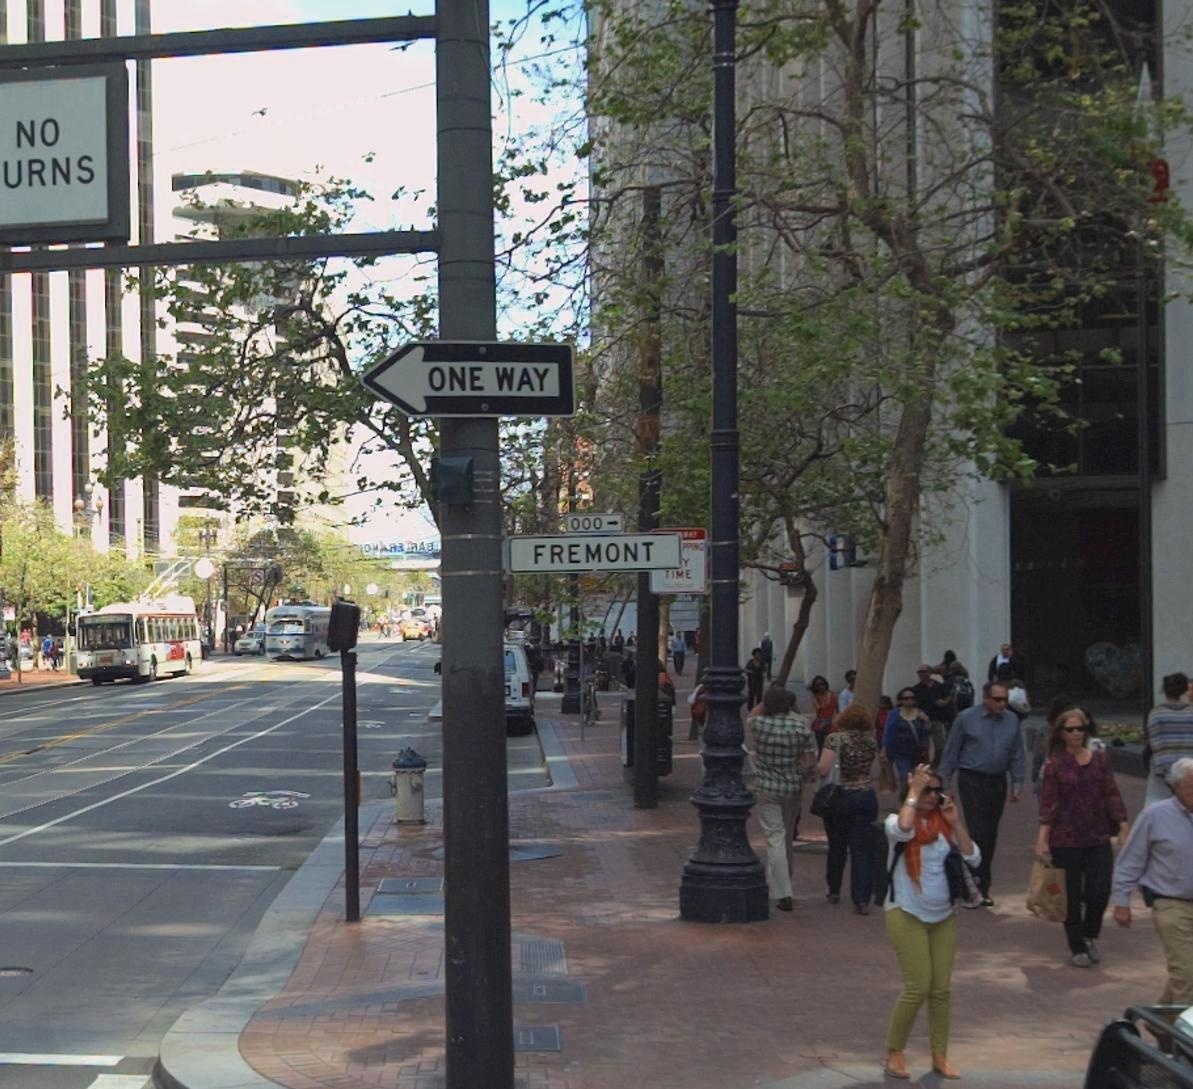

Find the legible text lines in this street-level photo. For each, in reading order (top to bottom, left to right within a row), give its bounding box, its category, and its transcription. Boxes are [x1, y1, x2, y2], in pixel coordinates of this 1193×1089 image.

[14, 117, 61, 150] None: NO
[2, 153, 96, 190] None: URNS
[425, 364, 553, 393] None: ONE WAY
[568, 514, 622, 533] StreetNumberRange: 000->
[532, 540, 653, 567] StreetName: FREMONT > [000]
[663, 568, 693, 579] None: TIME
[681, 556, 692, 568] None: Y
[681, 542, 704, 553] None: PPING